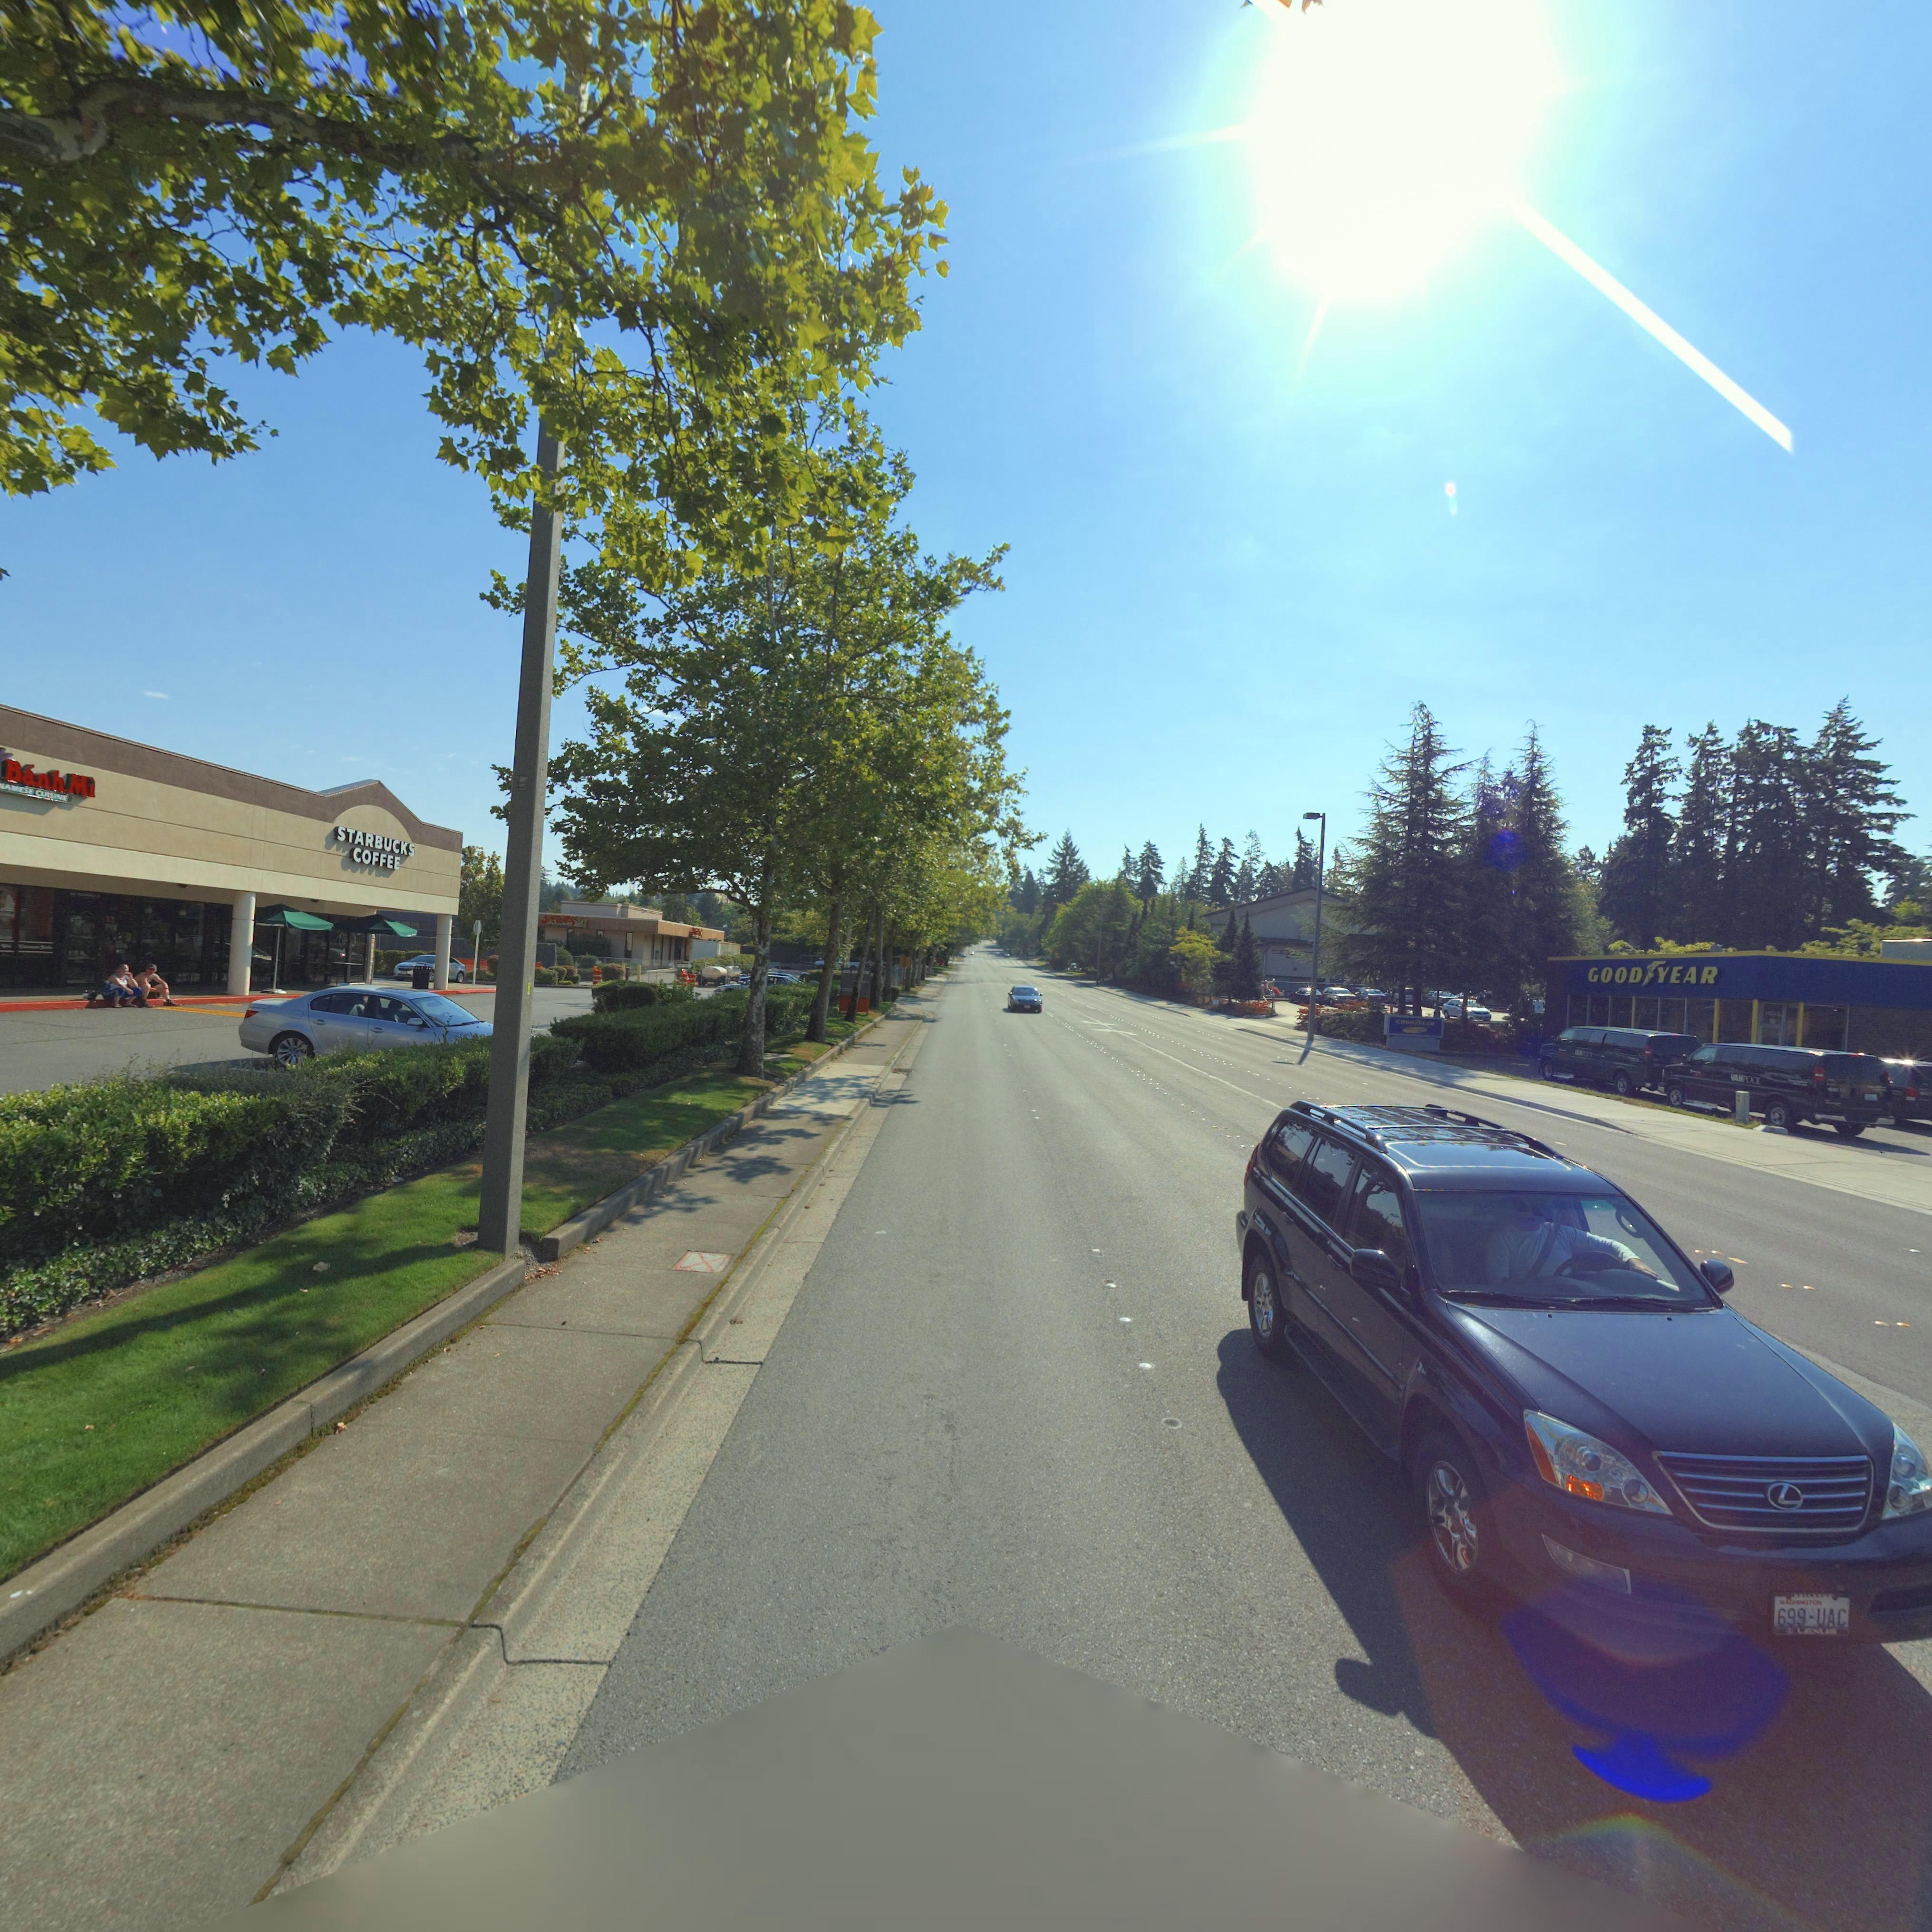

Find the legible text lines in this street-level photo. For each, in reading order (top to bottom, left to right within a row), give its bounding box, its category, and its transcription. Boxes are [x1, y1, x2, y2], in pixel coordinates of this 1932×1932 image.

[5, 755, 96, 797] BusinessName: B*nh Mi
[336, 824, 415, 858] BusinessName: STARBUCKS
[352, 846, 400, 869] BusinessName: COFFEE
[1586, 959, 1720, 988] BusinessName: GOOD*YEAR
[1395, 1019, 1435, 1026] BusinessName: GOOD*YEAR